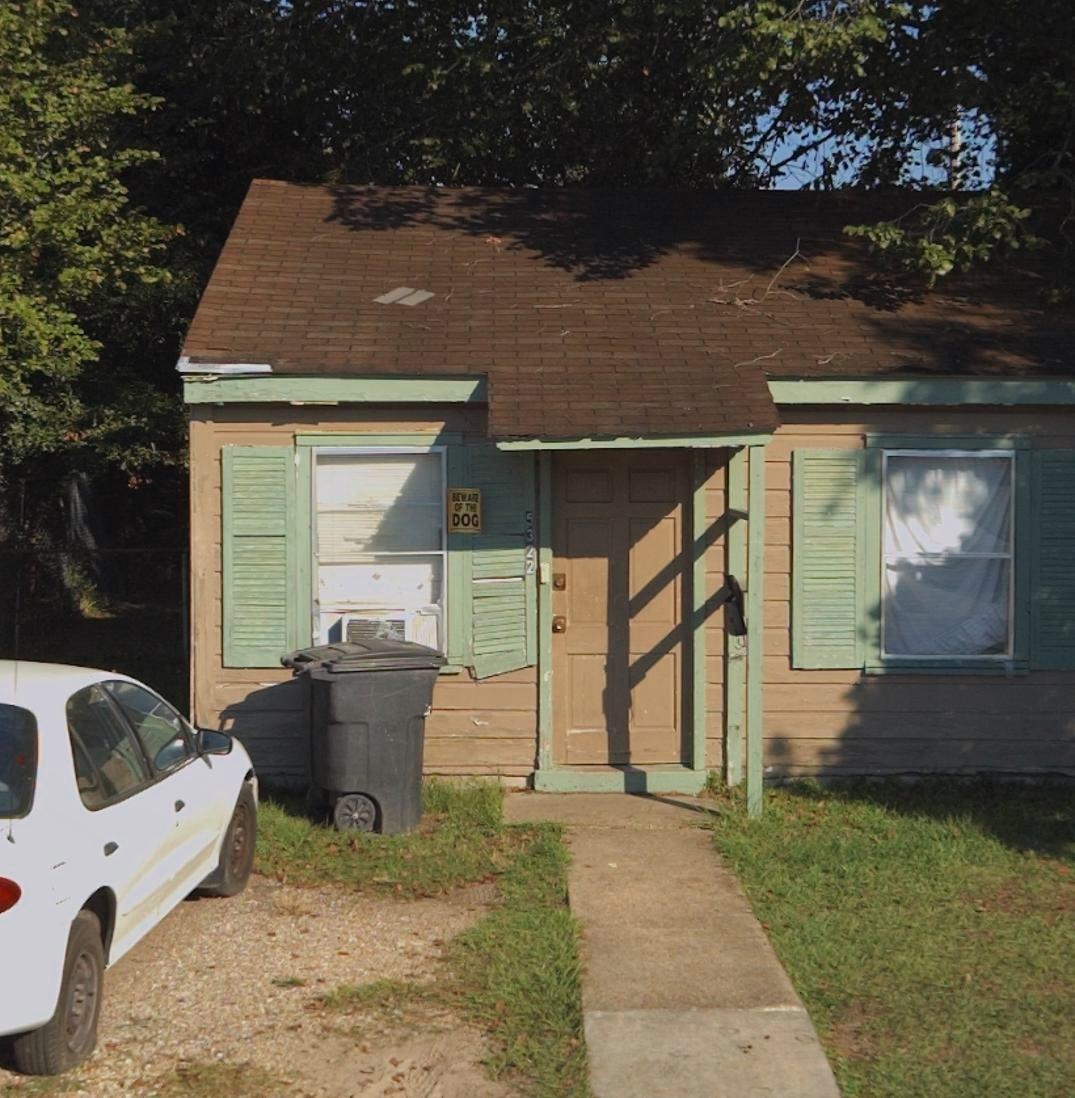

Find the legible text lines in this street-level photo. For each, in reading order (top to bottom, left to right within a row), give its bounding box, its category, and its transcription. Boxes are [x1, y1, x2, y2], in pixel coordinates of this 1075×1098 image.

[451, 492, 479, 503] None: BEWA**
[453, 502, 477, 513] None: OF THE
[452, 513, 479, 527] None: DOG
[525, 511, 535, 576] StreetNumber: 5322